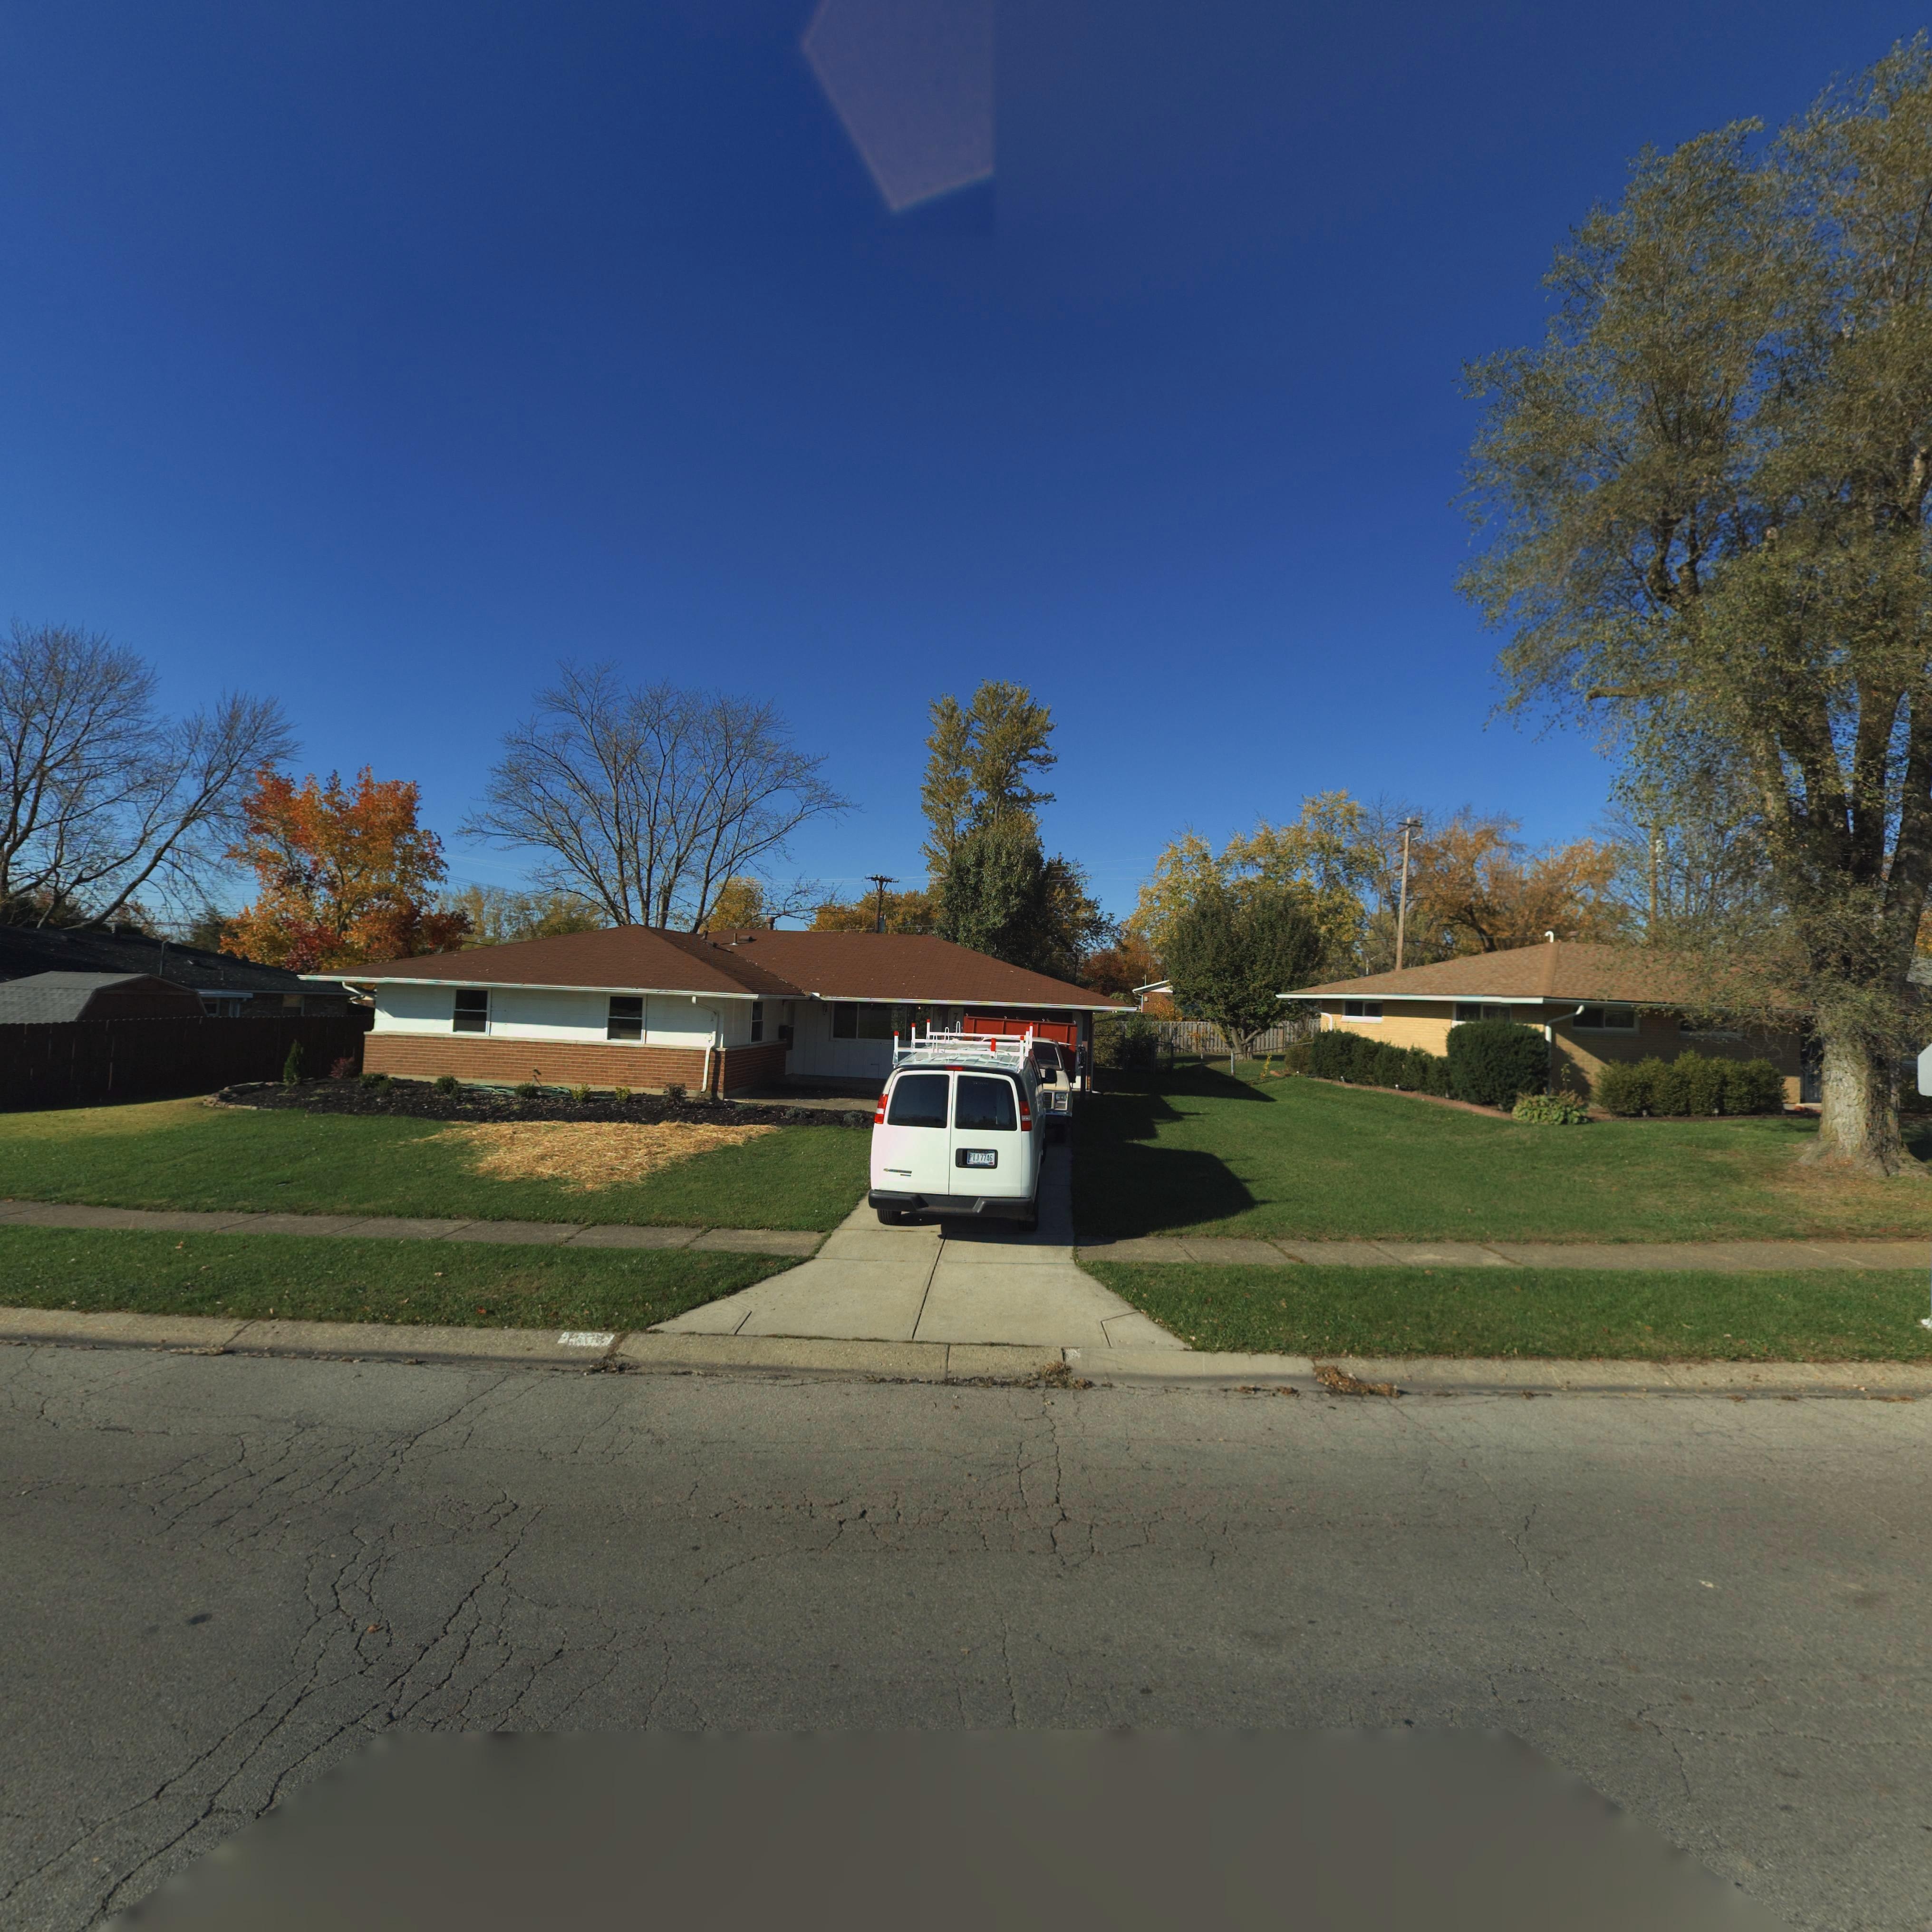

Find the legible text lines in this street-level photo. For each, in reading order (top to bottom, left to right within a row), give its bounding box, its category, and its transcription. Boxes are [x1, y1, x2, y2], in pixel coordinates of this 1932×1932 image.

[953, 1012, 959, 1021] StreetNumber: 7